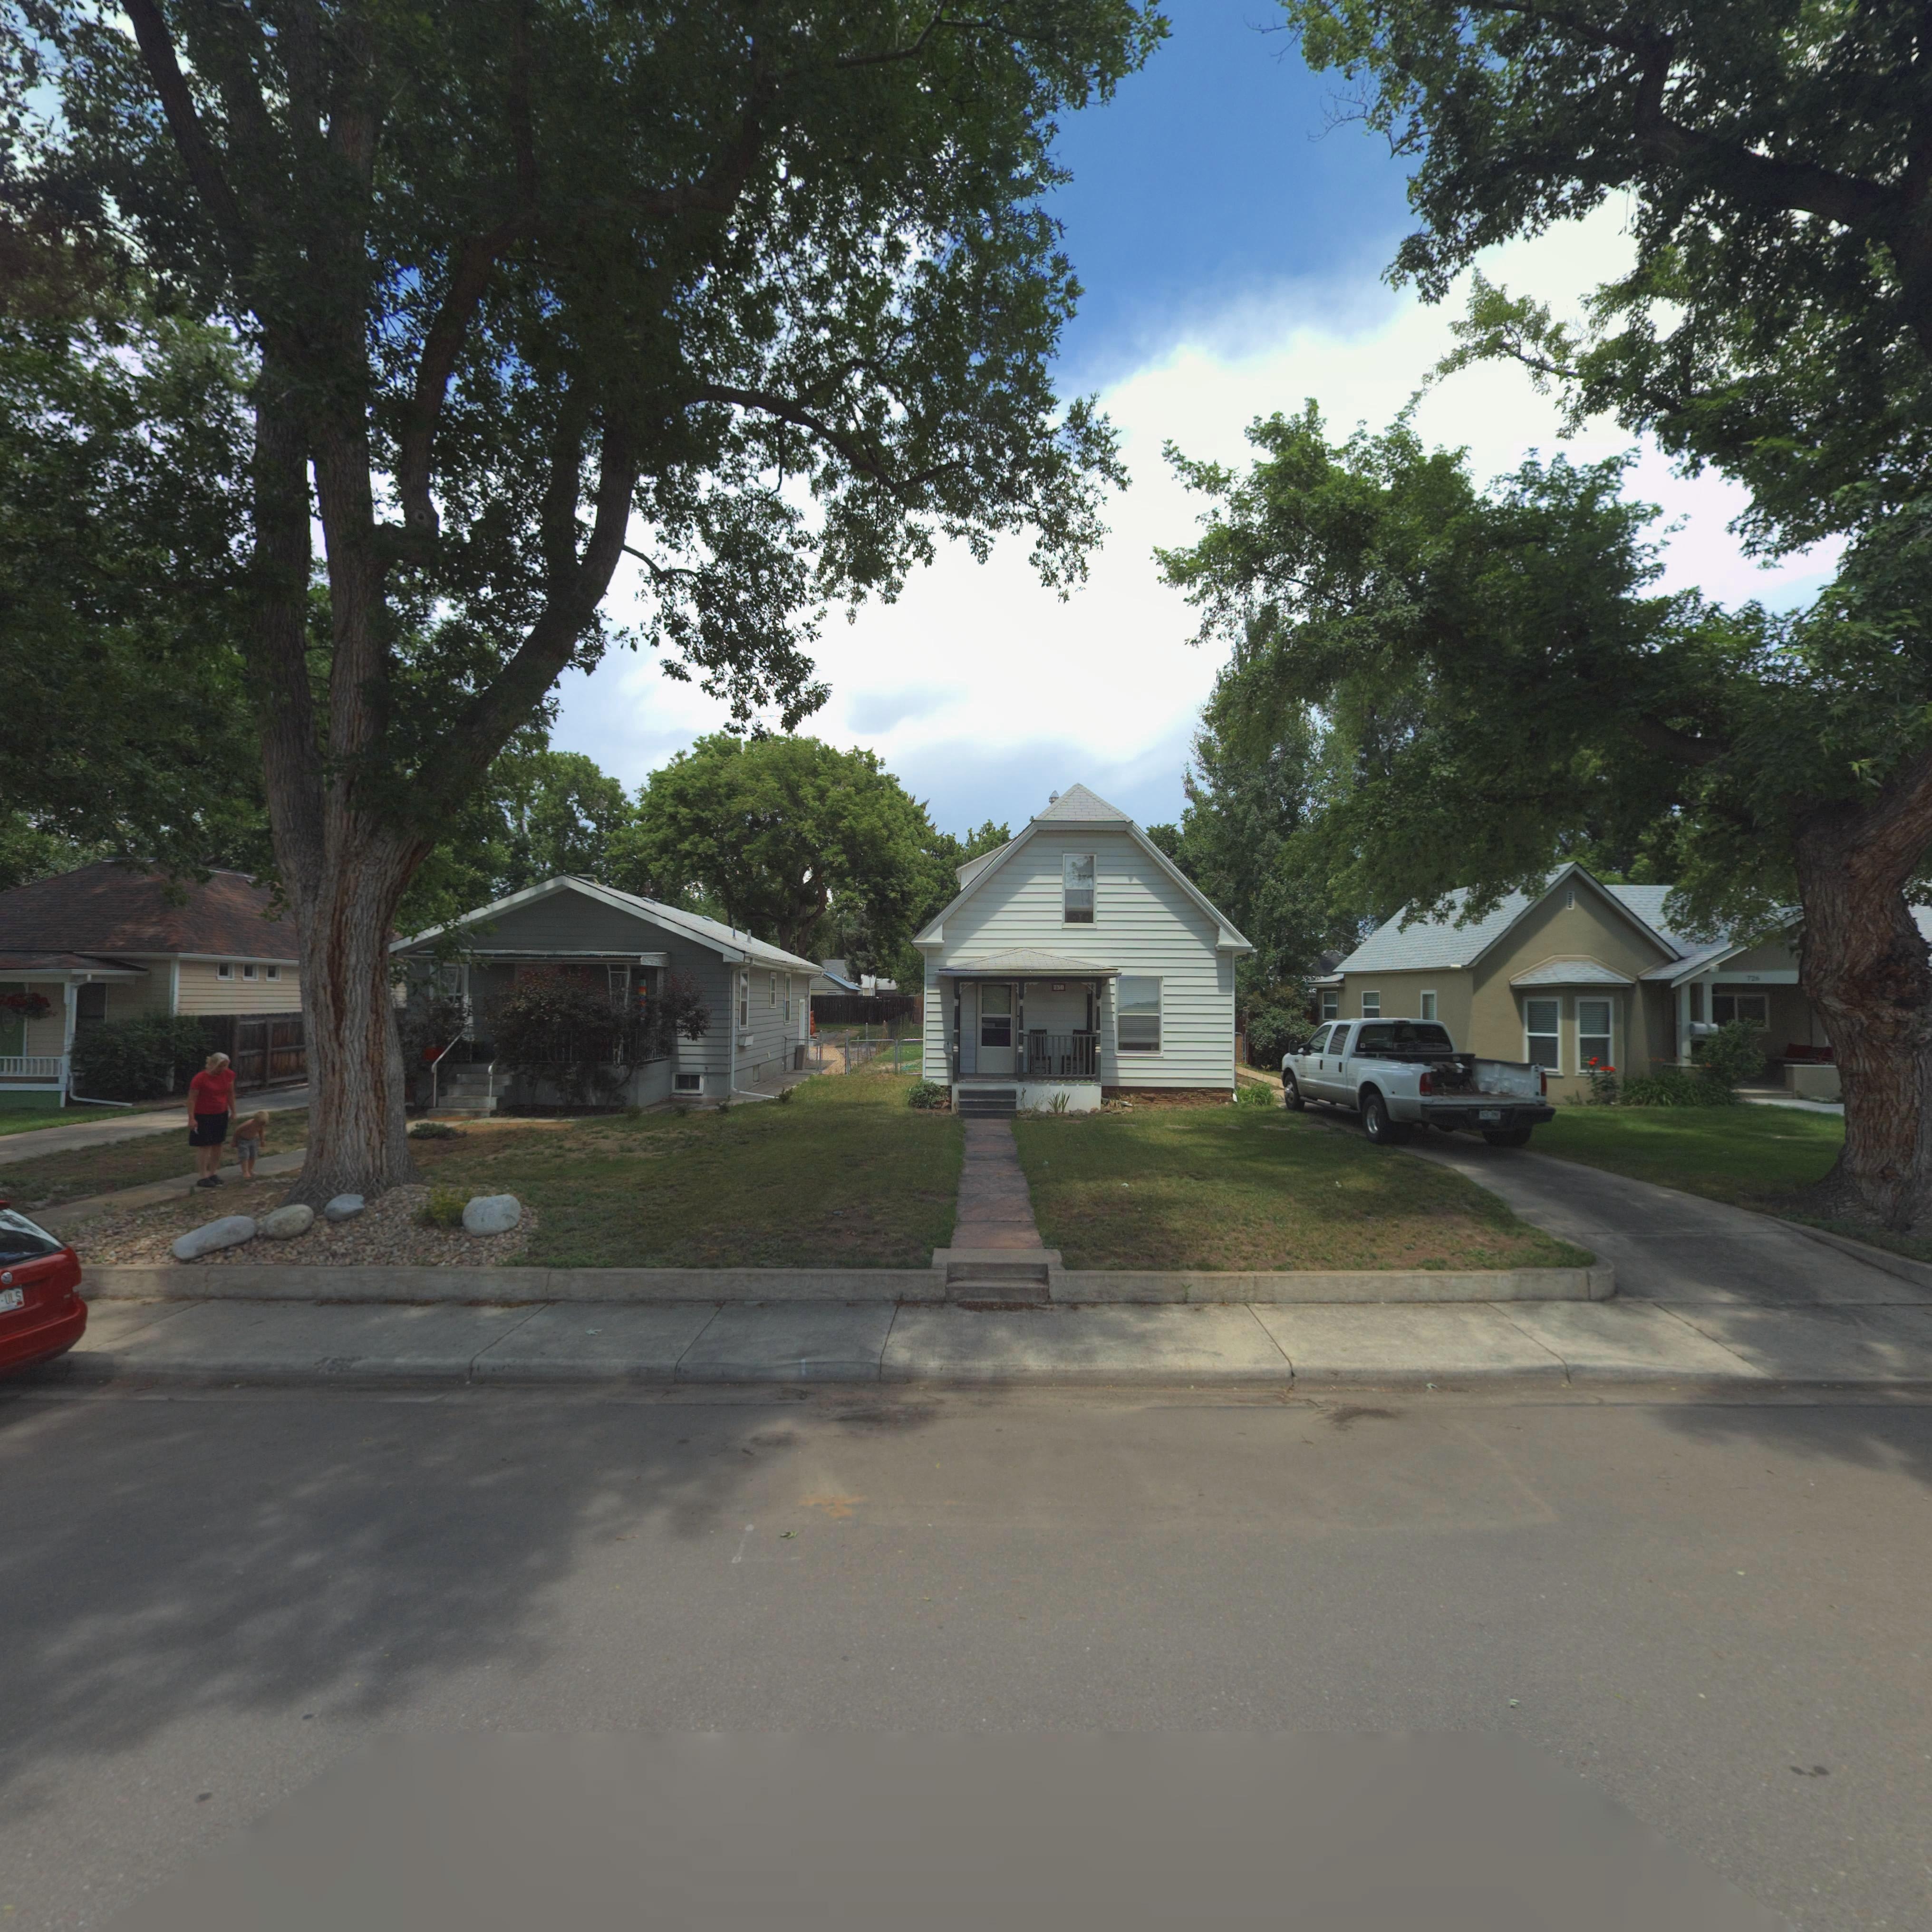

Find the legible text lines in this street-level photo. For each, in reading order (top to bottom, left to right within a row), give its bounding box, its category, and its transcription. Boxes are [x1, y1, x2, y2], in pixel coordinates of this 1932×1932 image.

[1747, 975, 1760, 981] StreetNumber: 726
[1053, 985, 1063, 990] StreetNumber: 730